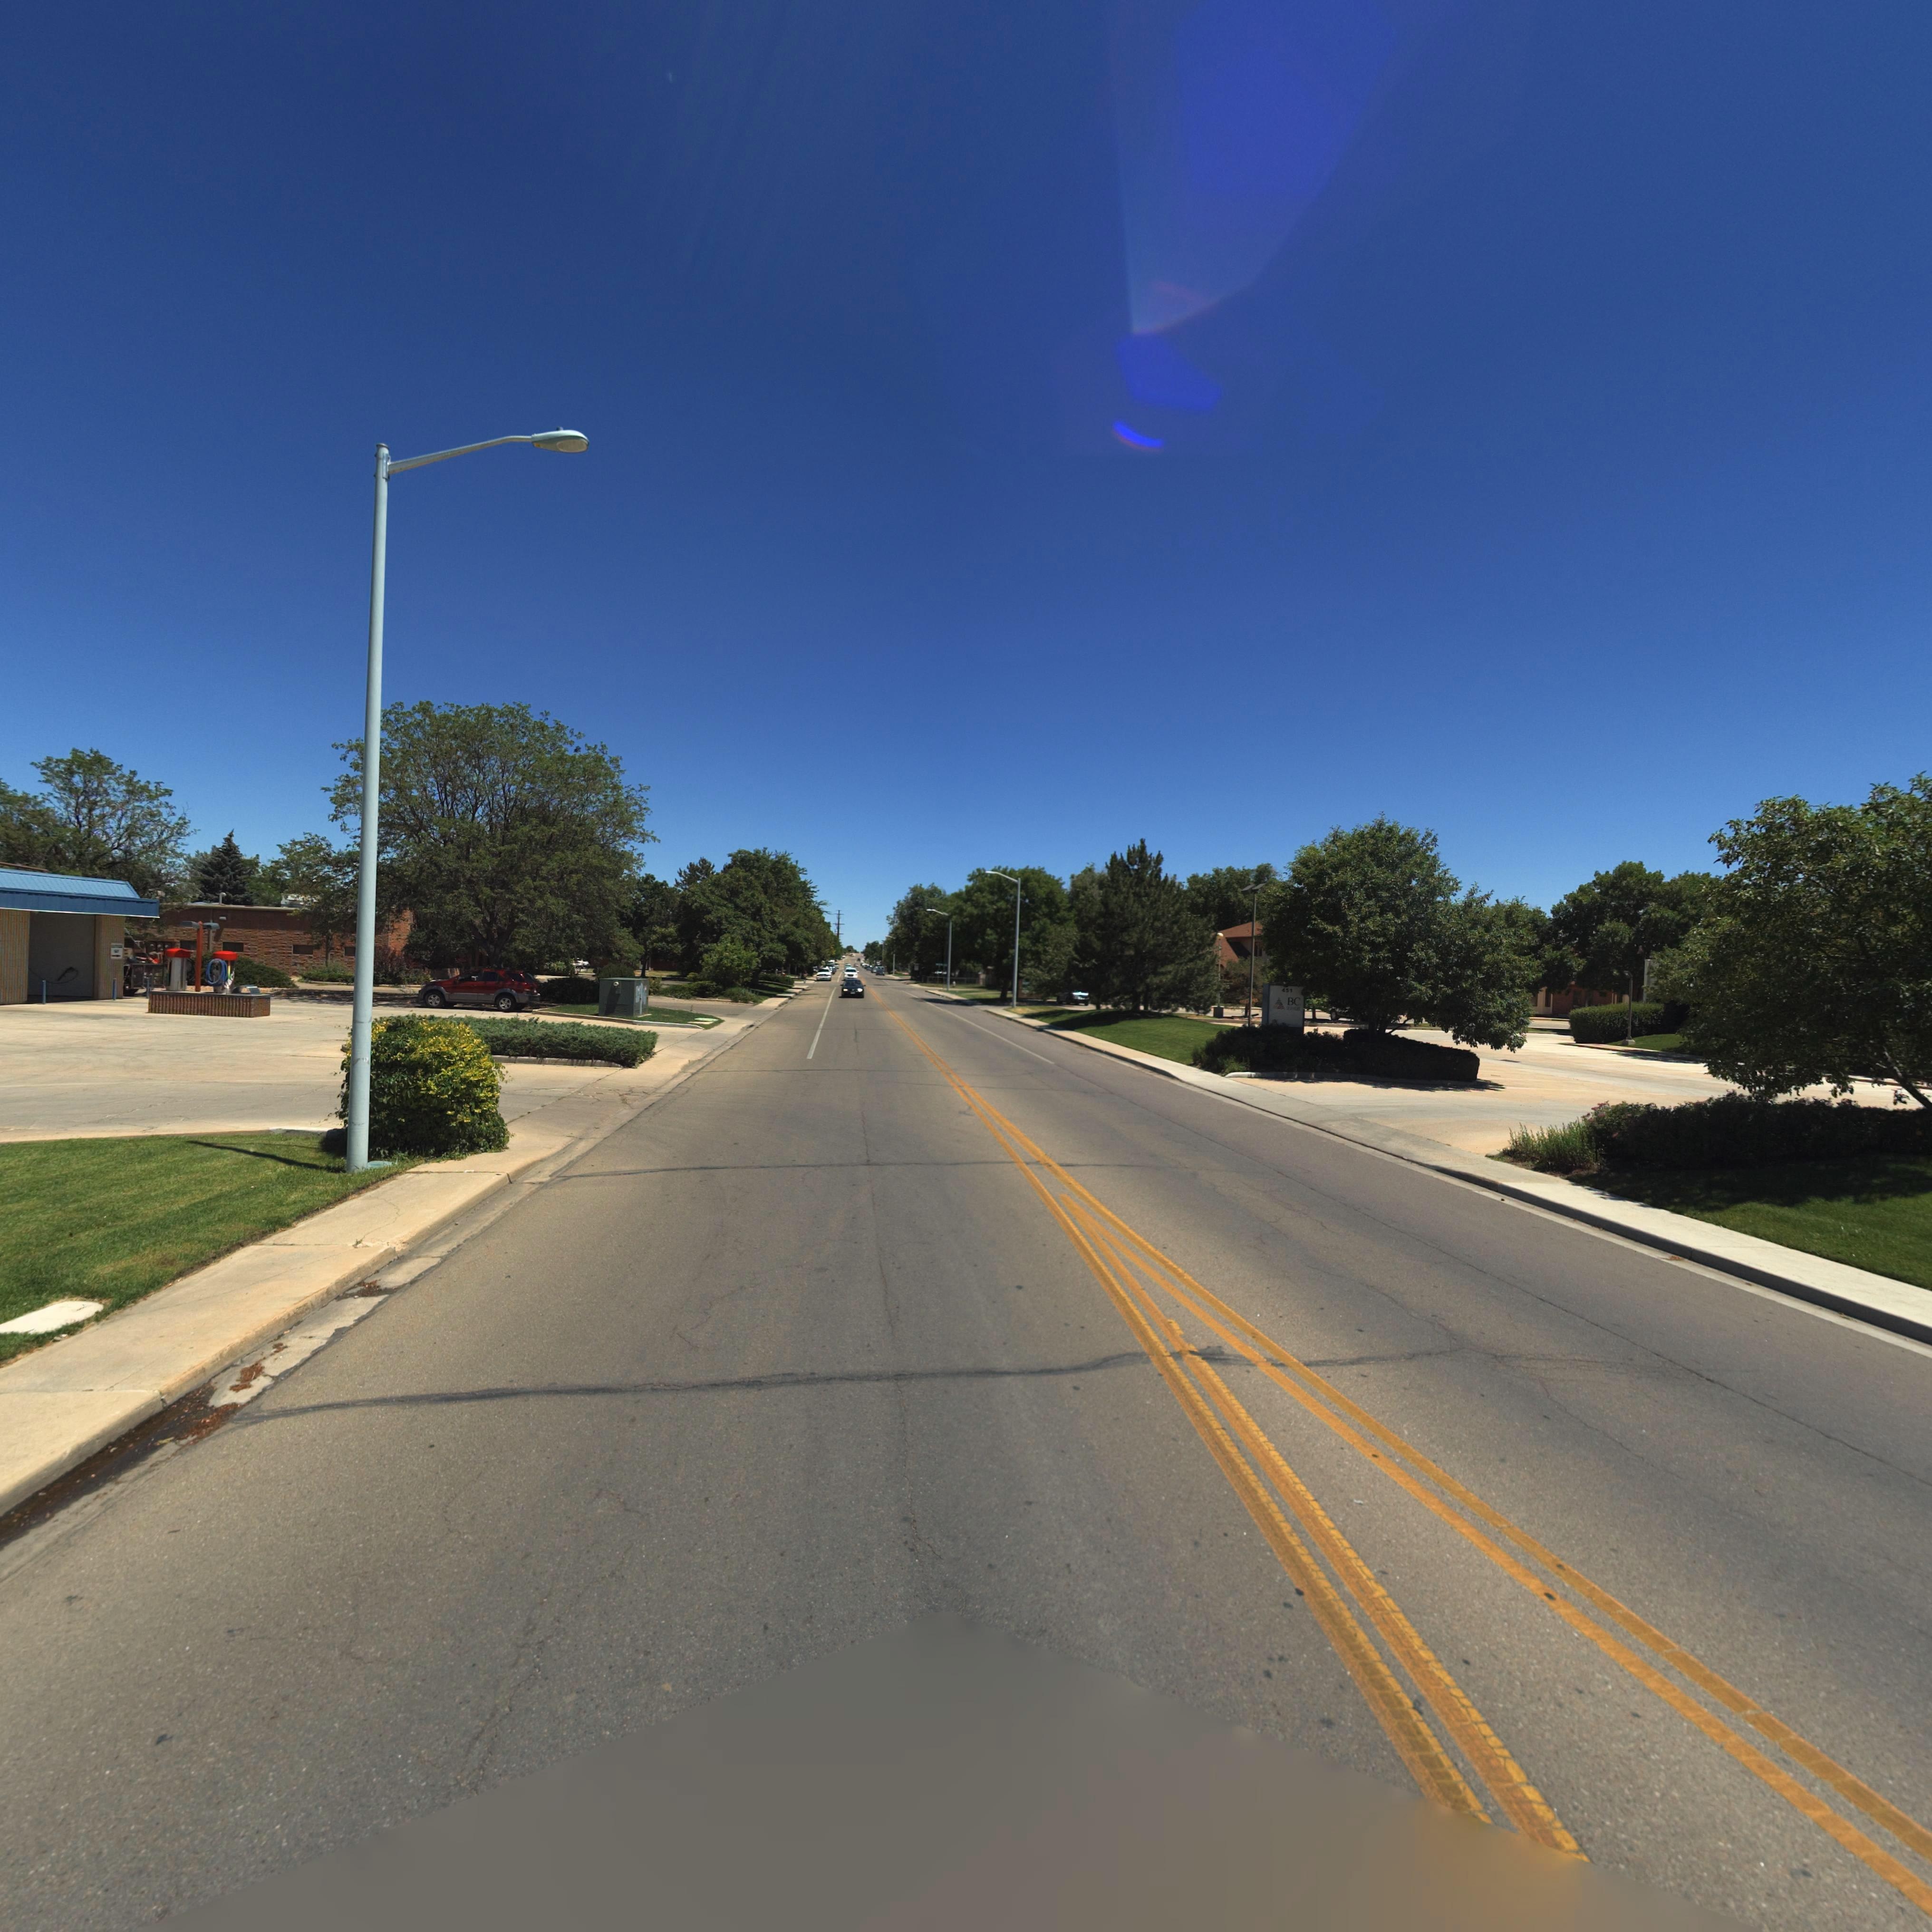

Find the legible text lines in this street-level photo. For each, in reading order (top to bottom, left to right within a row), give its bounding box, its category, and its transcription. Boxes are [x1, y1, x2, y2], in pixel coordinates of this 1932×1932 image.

[1281, 988, 1293, 993] StreetNumber: 451
[1287, 997, 1301, 1006] BusinessName: BC
[1286, 1005, 1300, 1011] BusinessName: SER*****